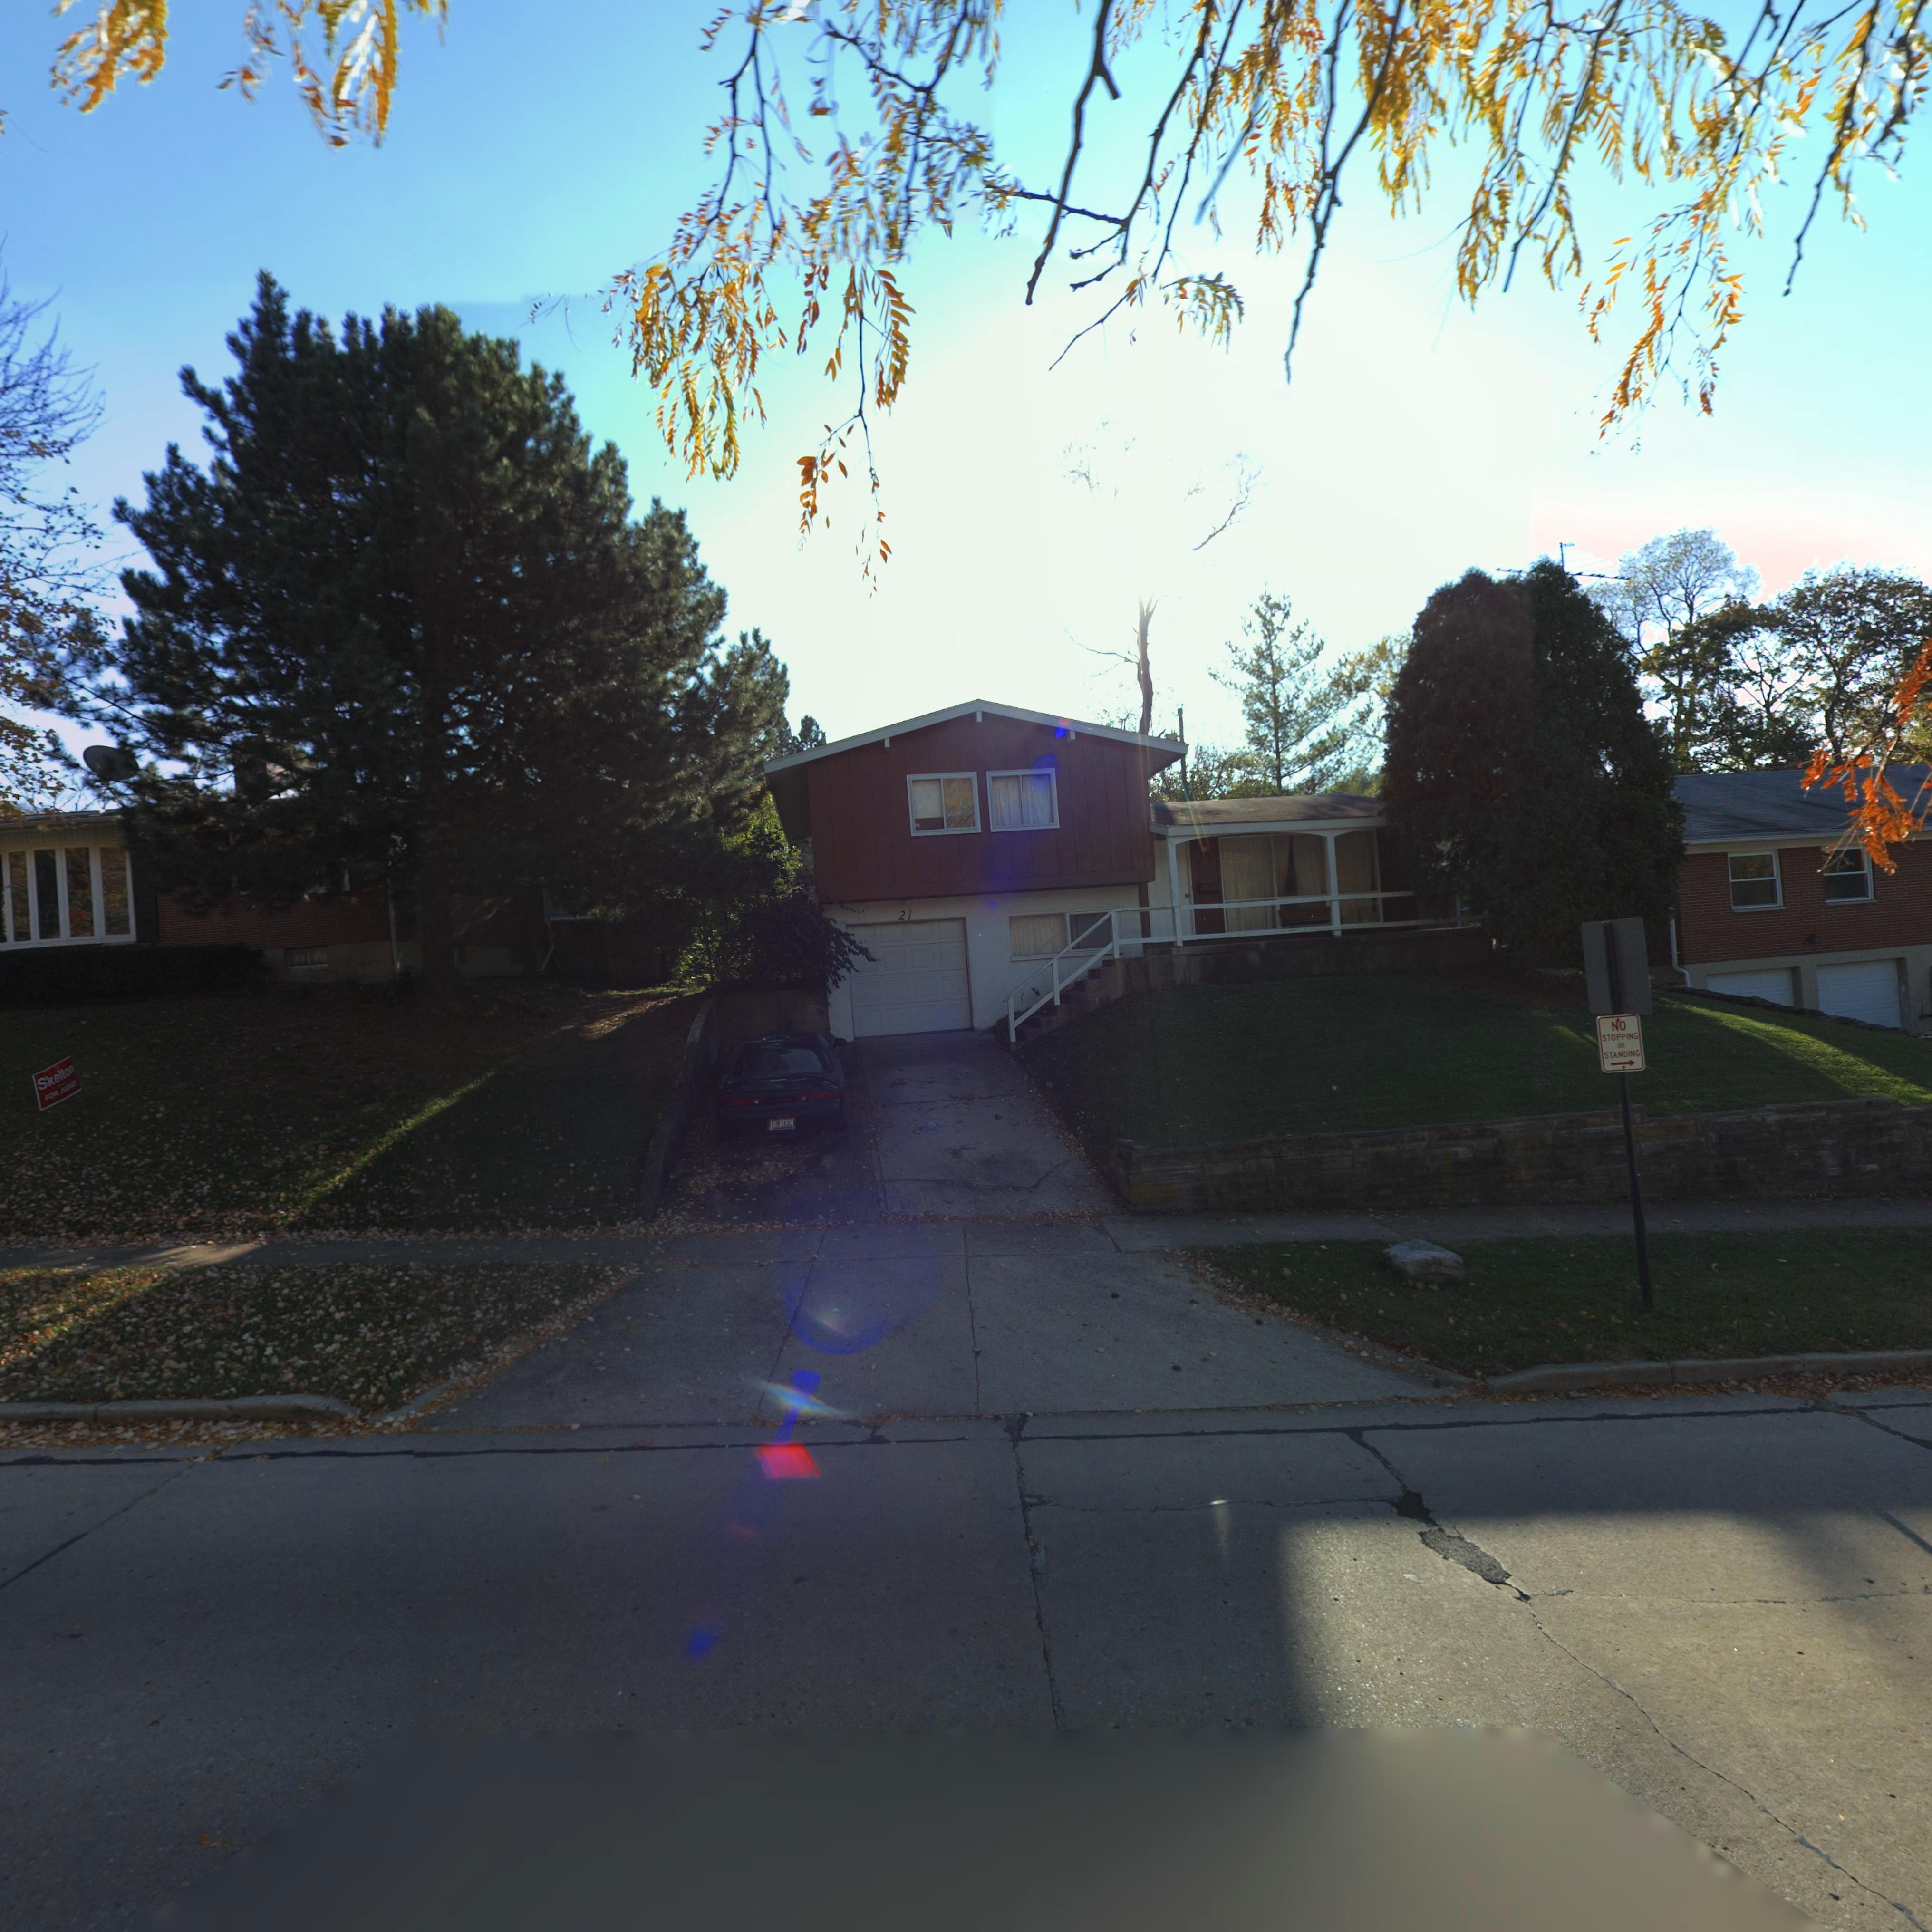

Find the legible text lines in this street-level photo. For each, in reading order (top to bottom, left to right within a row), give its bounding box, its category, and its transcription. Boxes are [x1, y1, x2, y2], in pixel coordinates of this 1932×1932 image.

[898, 909, 912, 921] StreetNumber: 21